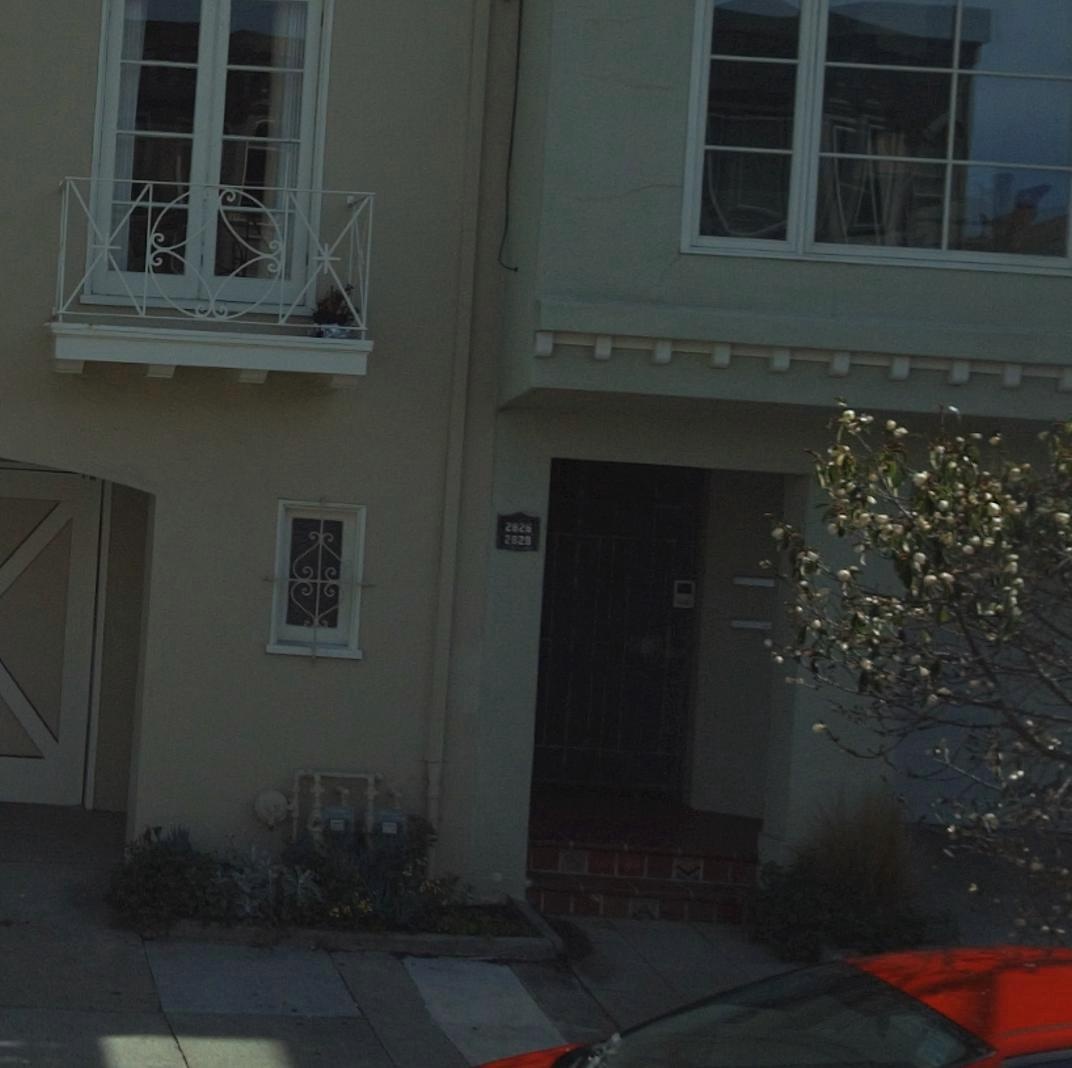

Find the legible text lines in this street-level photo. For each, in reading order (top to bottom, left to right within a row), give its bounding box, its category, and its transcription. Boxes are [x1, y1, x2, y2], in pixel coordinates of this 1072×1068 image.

[504, 521, 533, 535] StreetNumber: 2826
[503, 533, 532, 546] StreetNumber: 2828